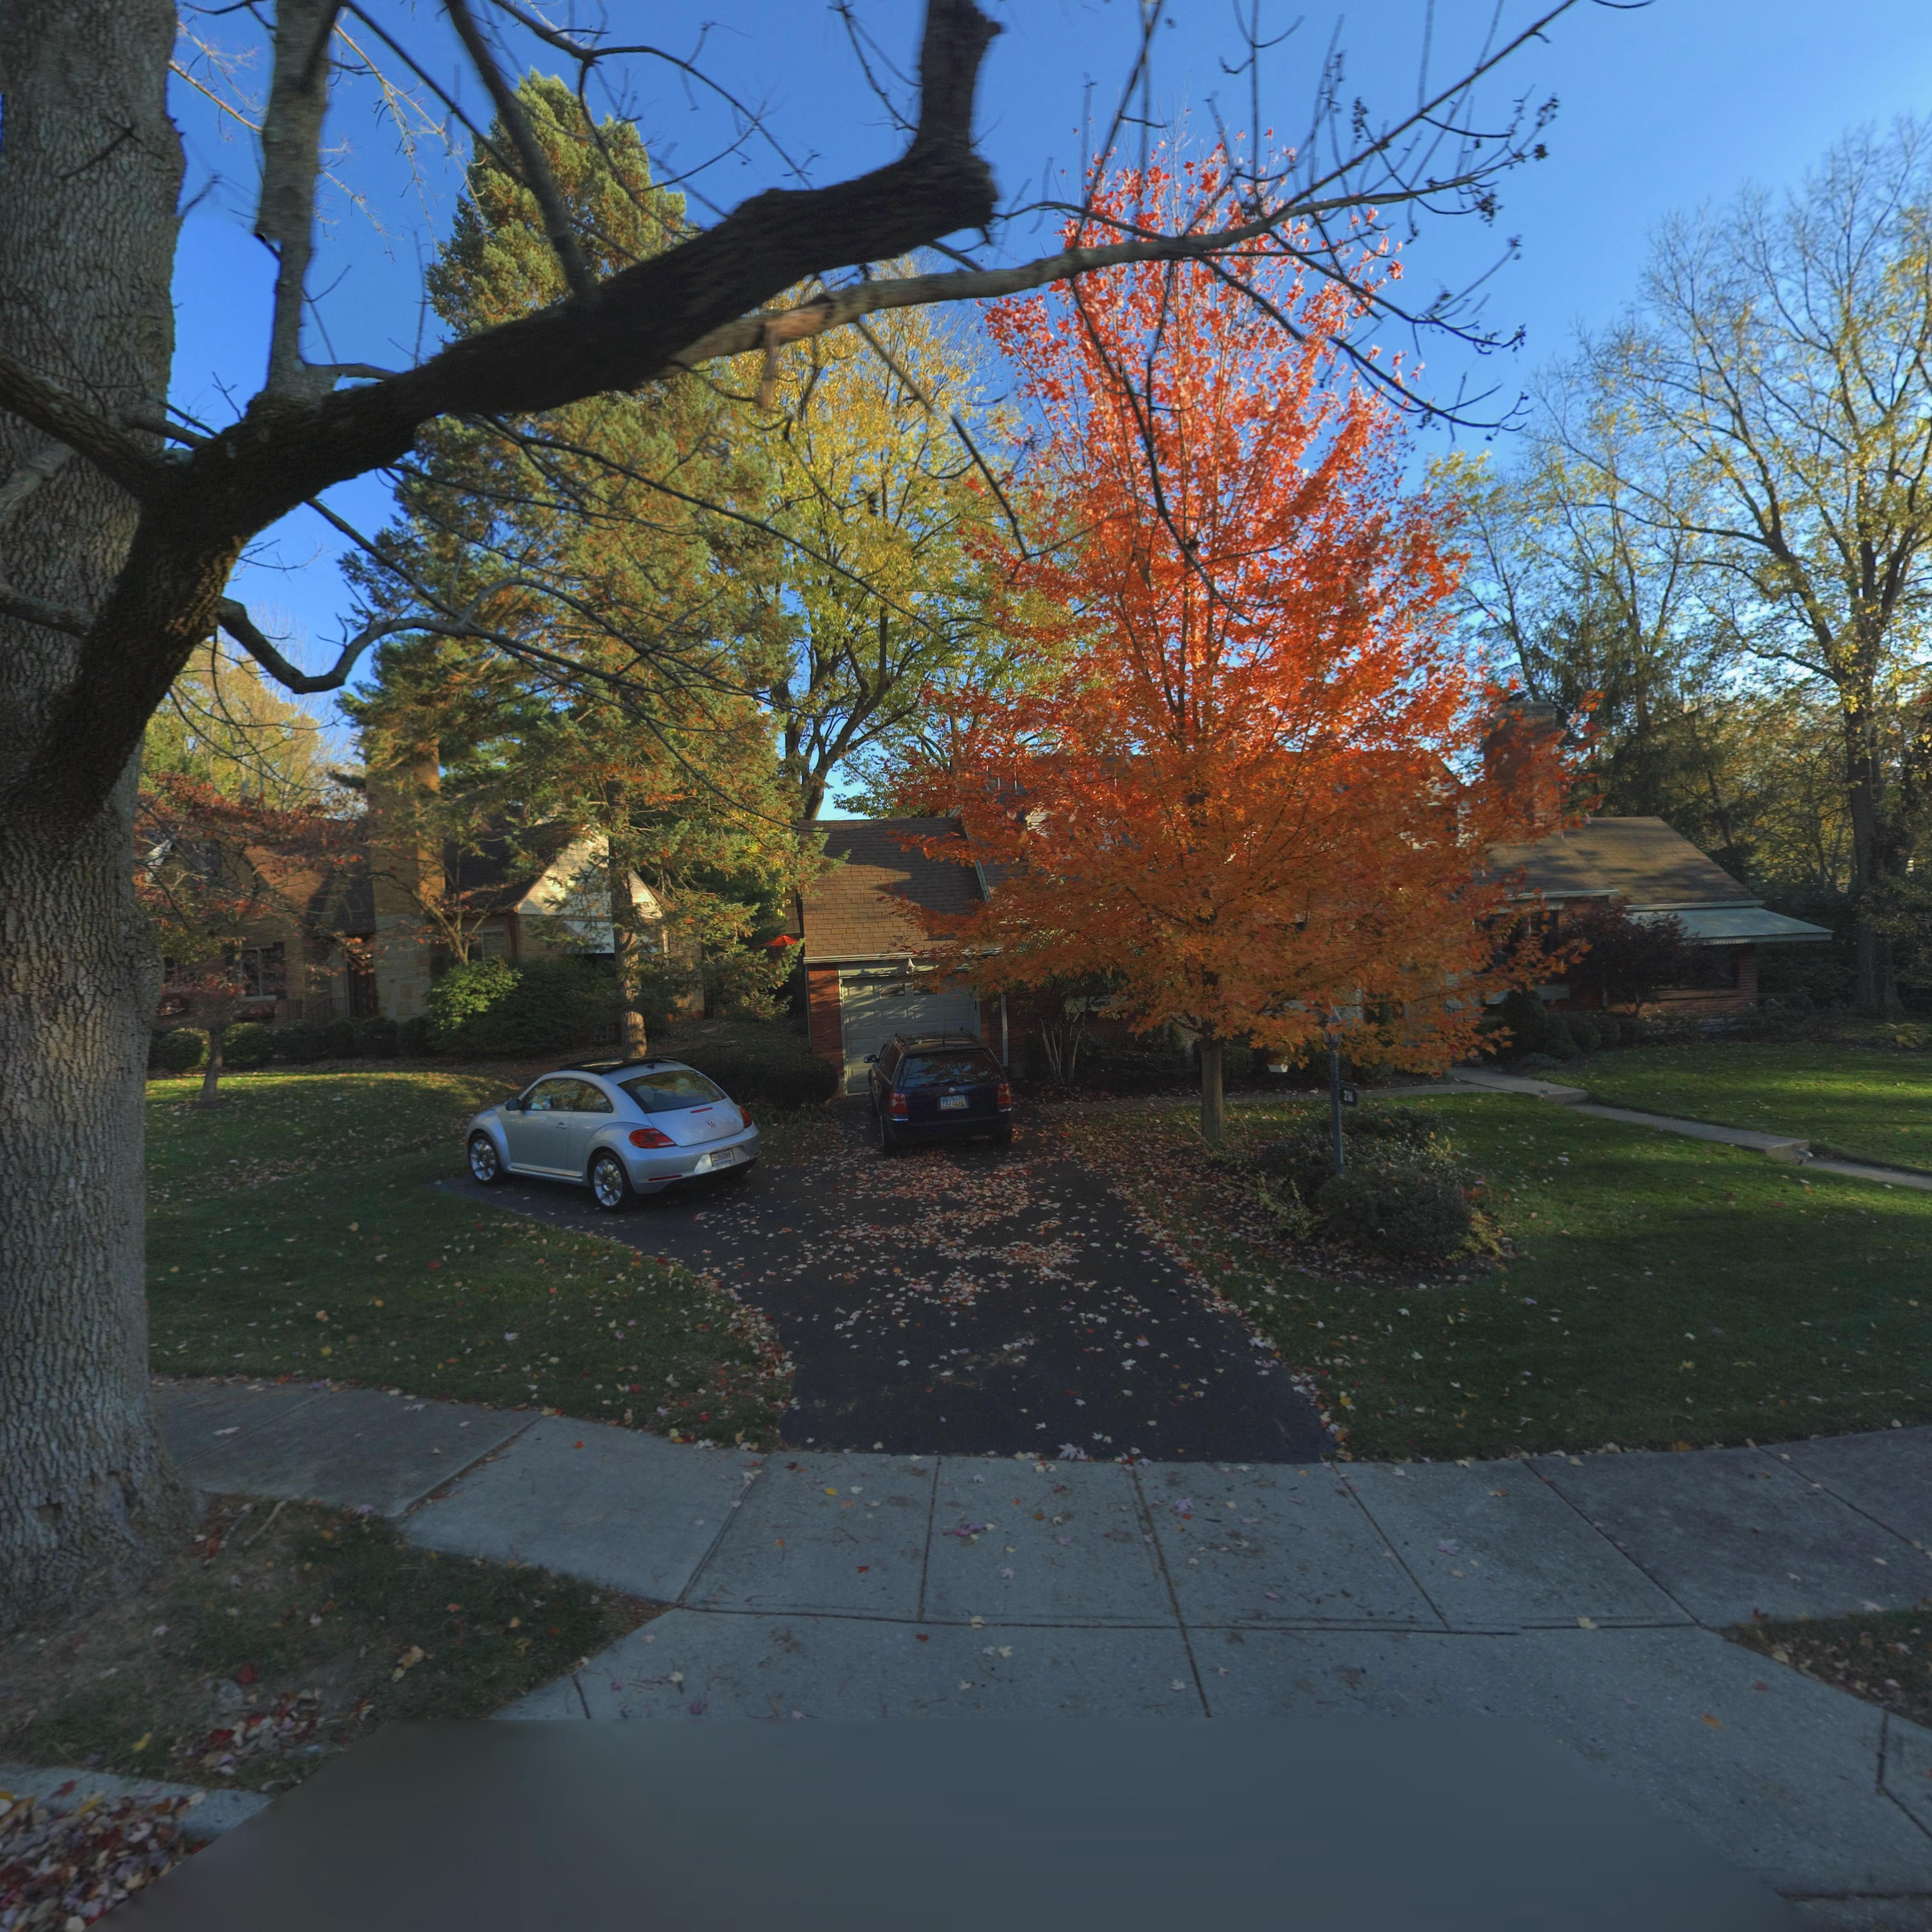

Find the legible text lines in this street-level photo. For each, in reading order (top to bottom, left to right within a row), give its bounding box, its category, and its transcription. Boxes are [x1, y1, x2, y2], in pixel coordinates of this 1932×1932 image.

[1343, 1089, 1353, 1103] StreetNumber: 2*6